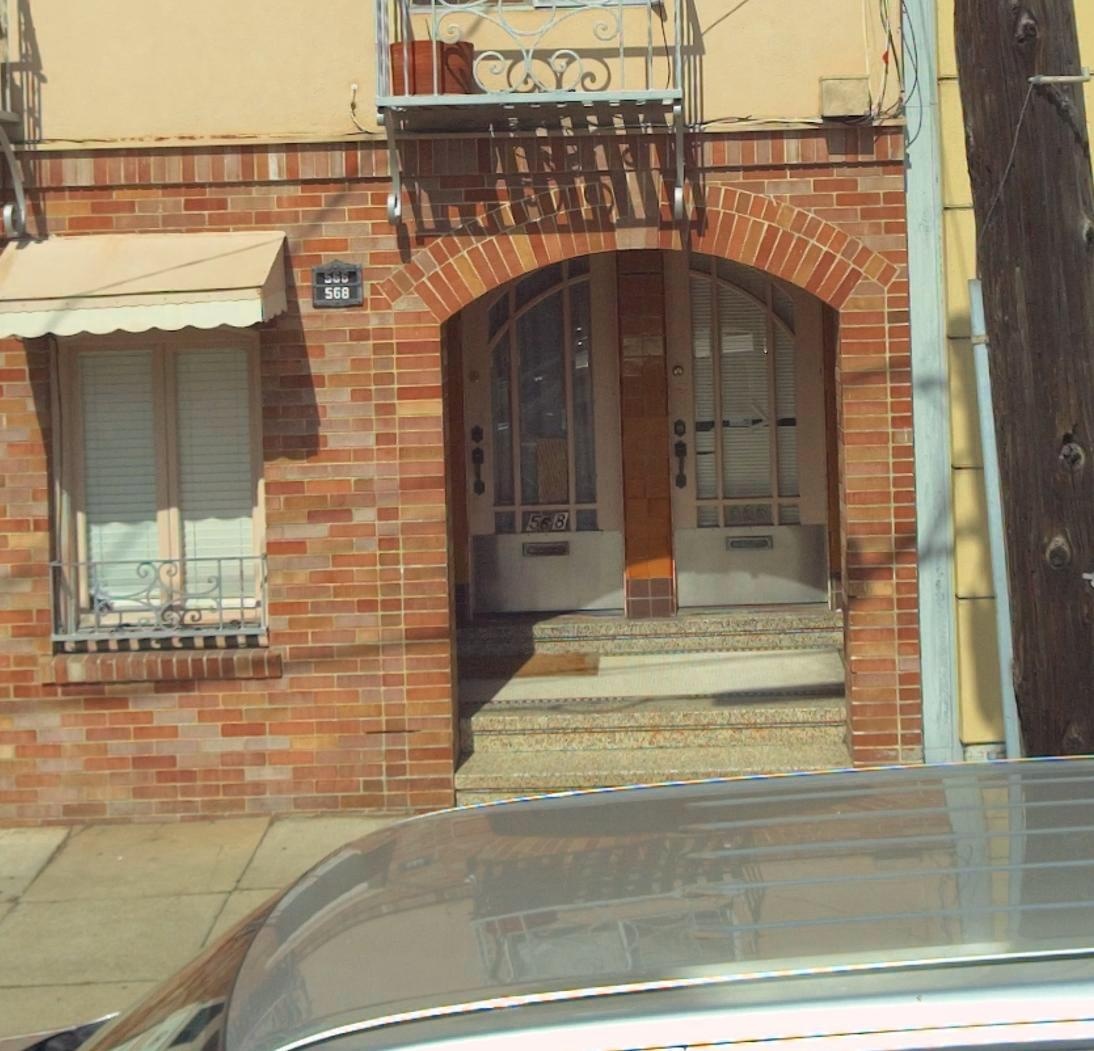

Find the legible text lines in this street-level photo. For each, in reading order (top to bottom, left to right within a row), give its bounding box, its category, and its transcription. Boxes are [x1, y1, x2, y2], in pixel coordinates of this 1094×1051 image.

[322, 268, 351, 285] StreetNumber: 5**
[321, 285, 353, 302] StreetNumber: 568
[525, 509, 570, 534] StreetNumber: 568